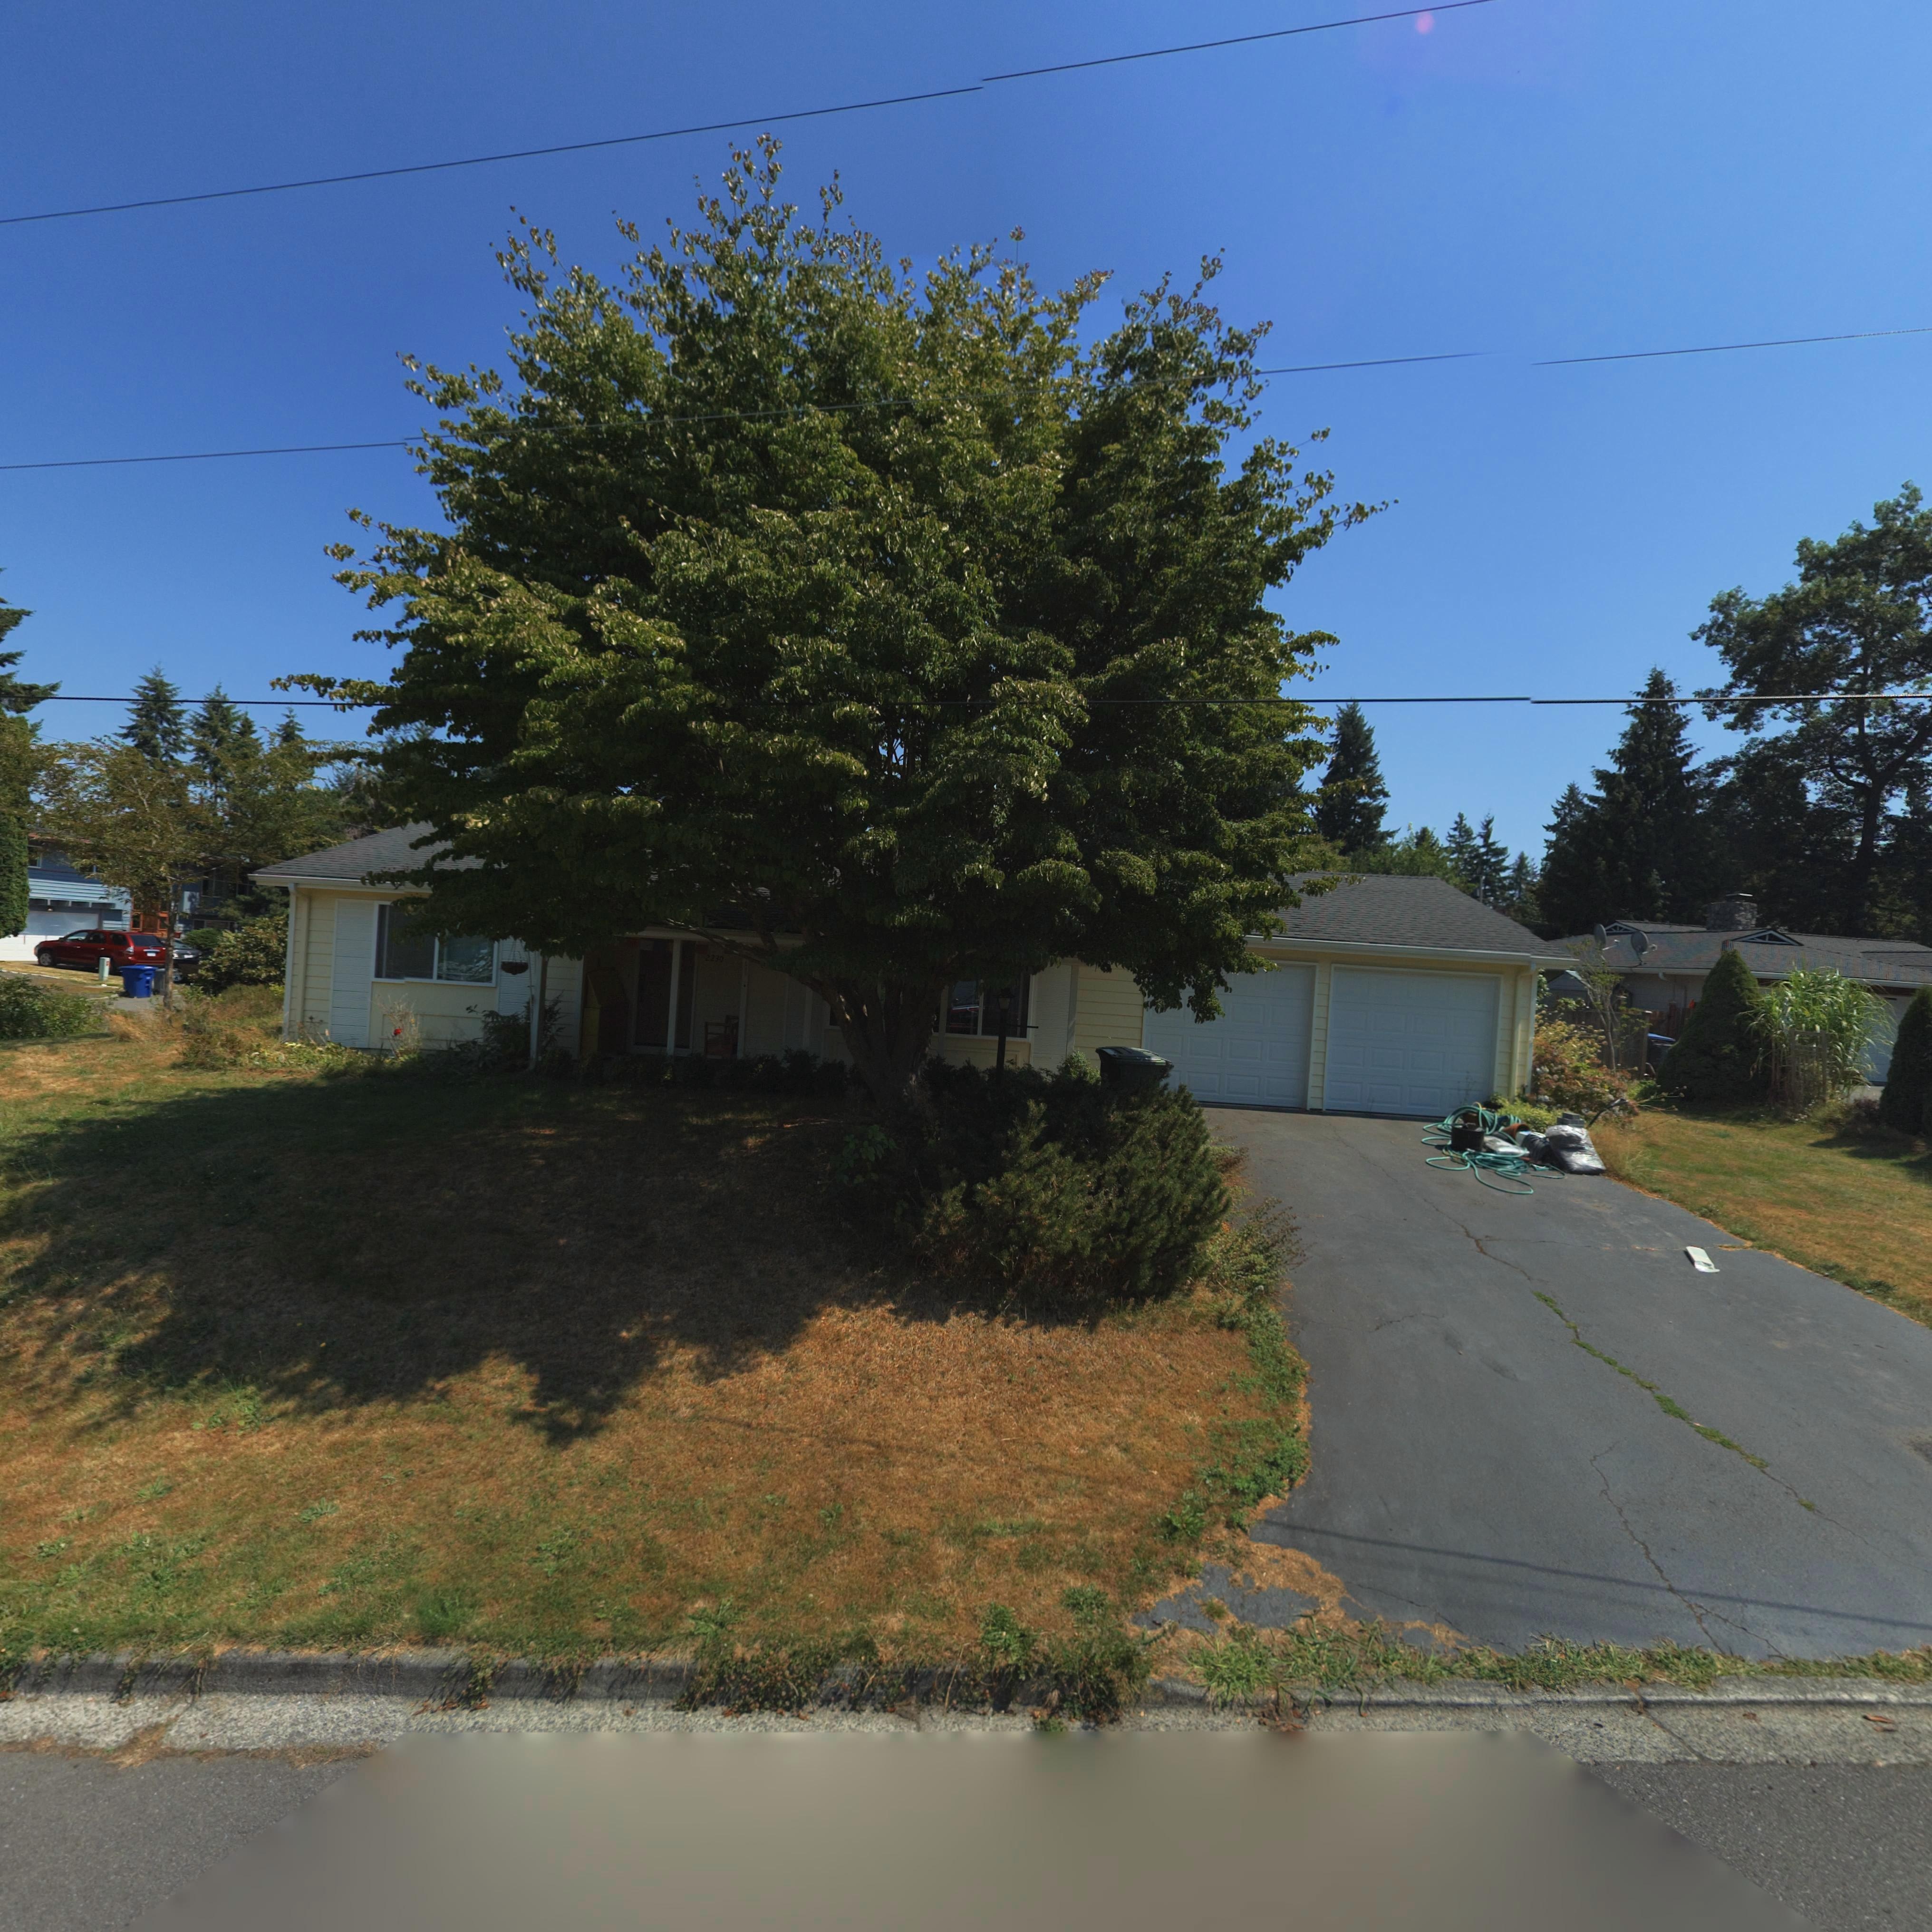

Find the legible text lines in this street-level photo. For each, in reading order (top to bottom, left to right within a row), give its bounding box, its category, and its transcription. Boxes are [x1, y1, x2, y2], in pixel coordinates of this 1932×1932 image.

[705, 954, 724, 962] StreetNumber: 2230